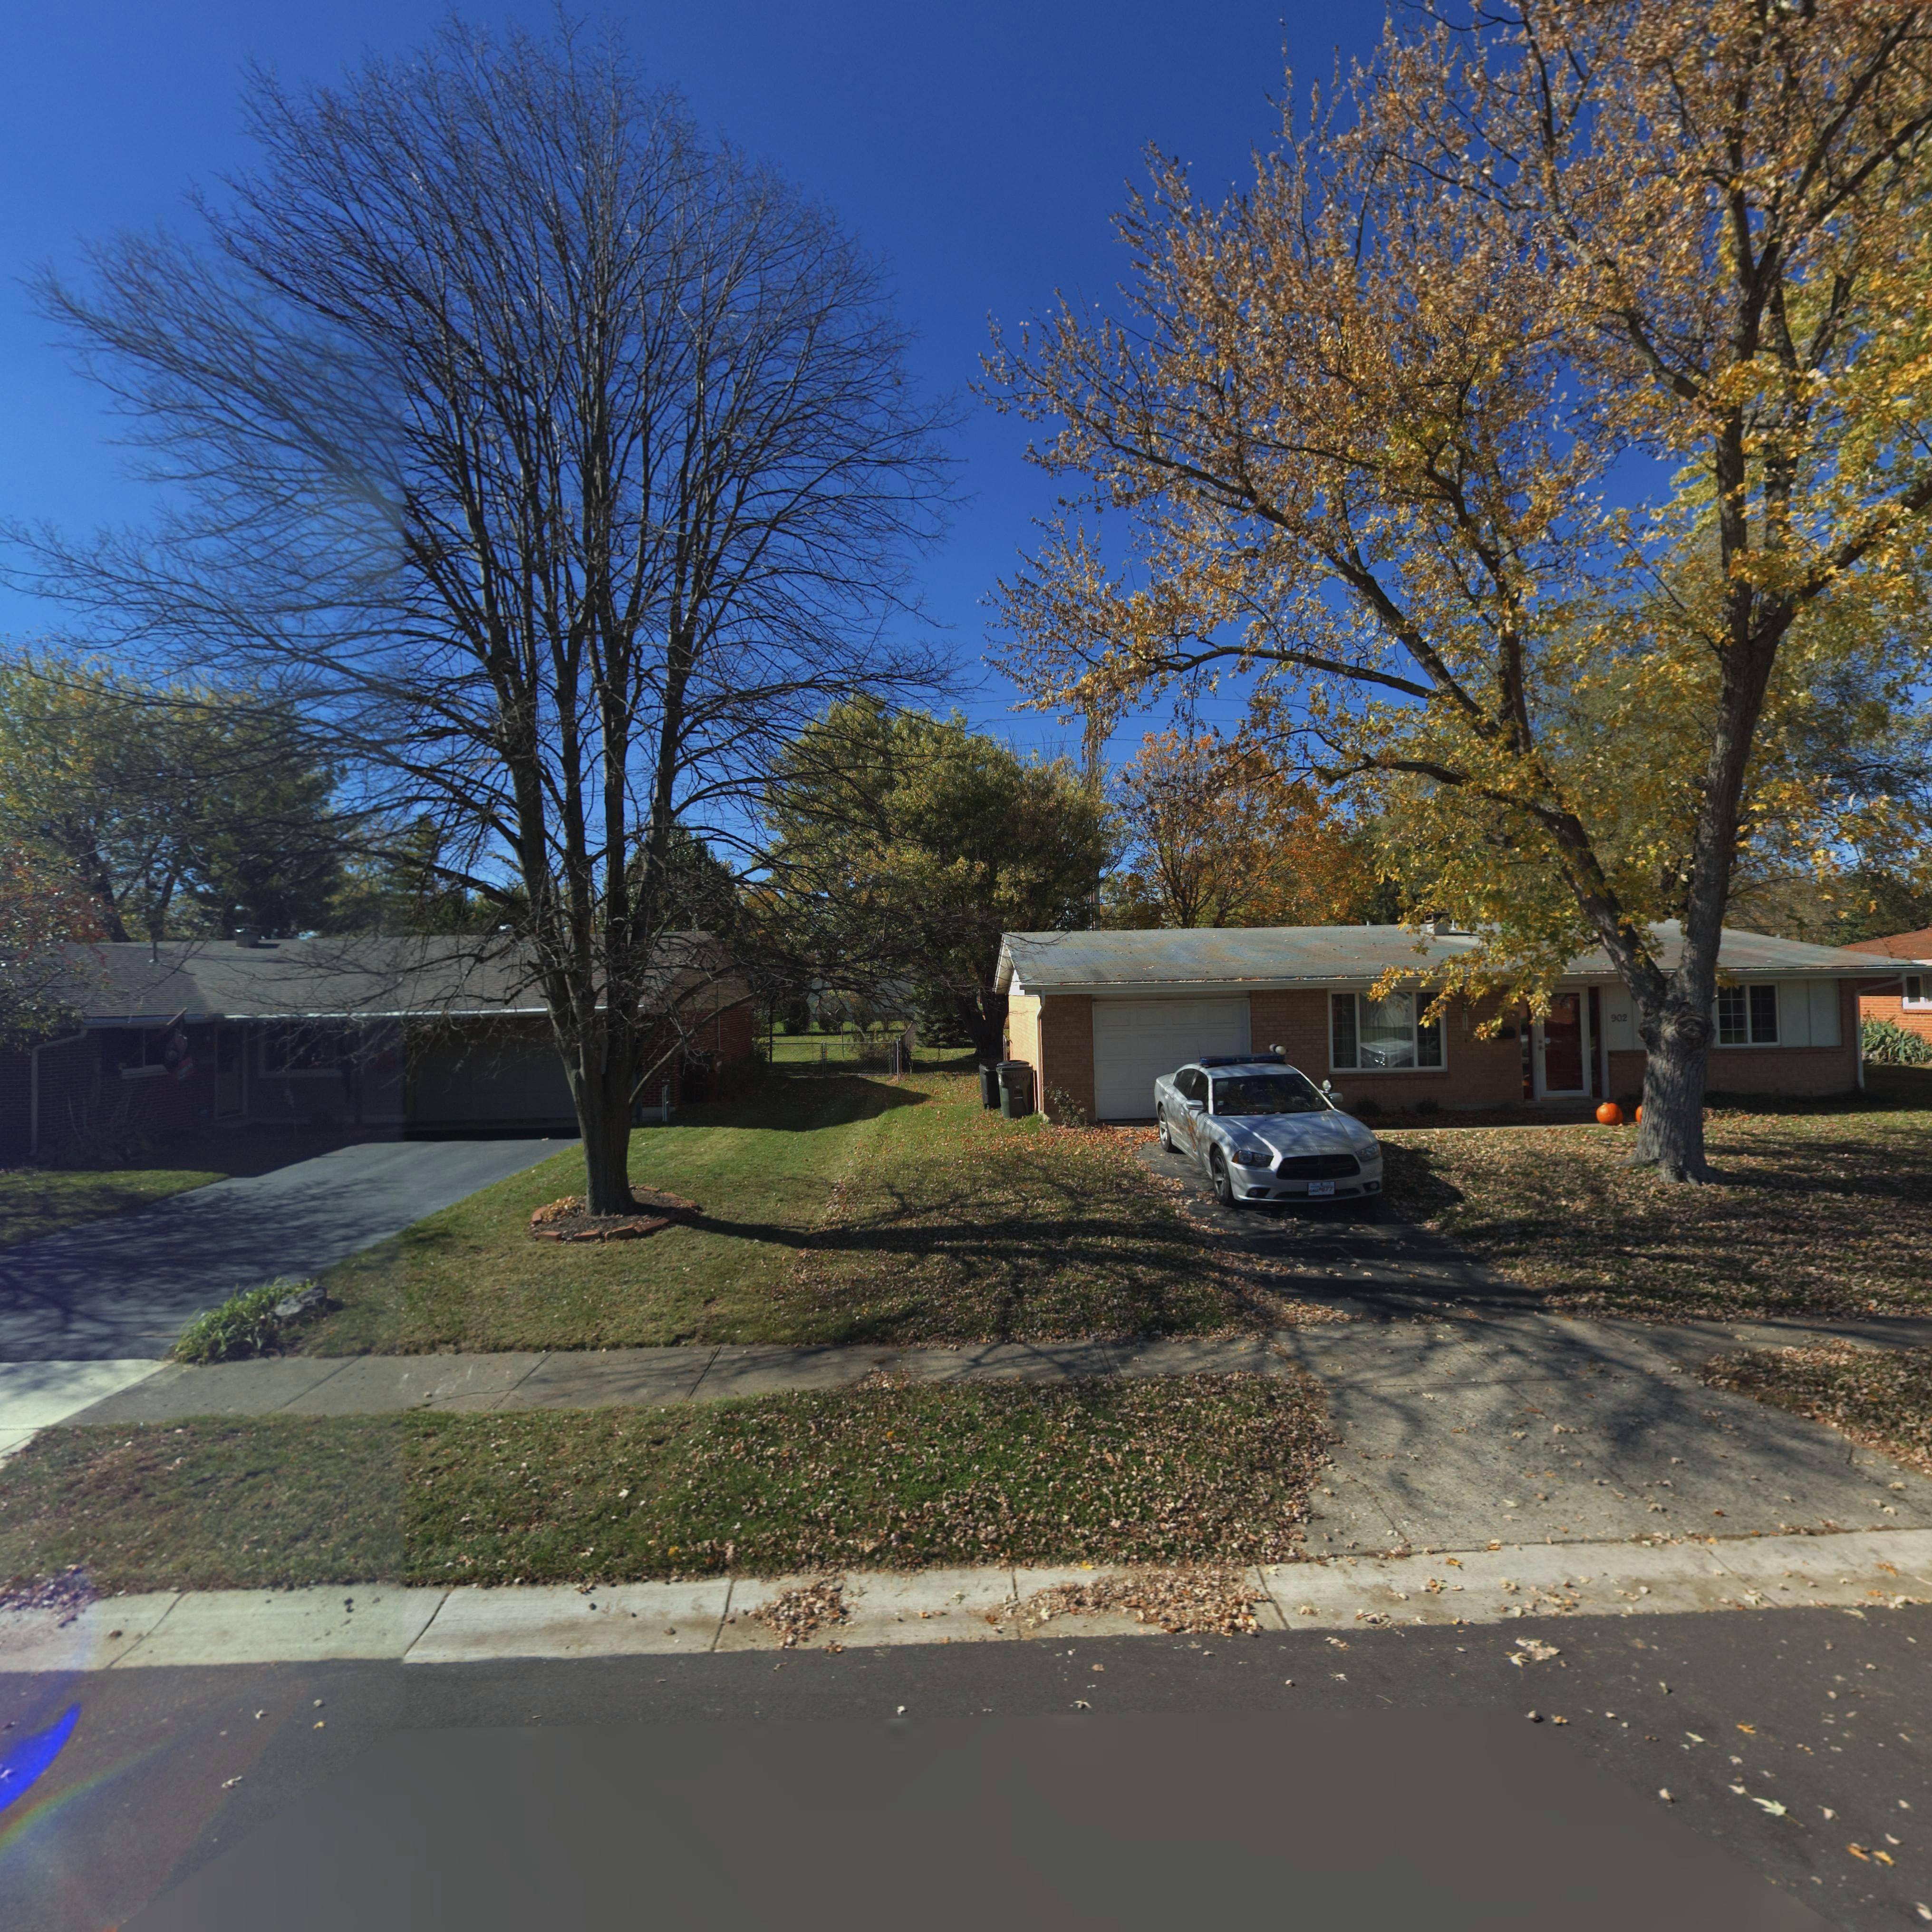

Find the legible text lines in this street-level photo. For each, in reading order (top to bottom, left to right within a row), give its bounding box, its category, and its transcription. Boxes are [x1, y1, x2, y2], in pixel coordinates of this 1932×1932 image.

[1611, 1013, 1627, 1023] StreetNumber: 902